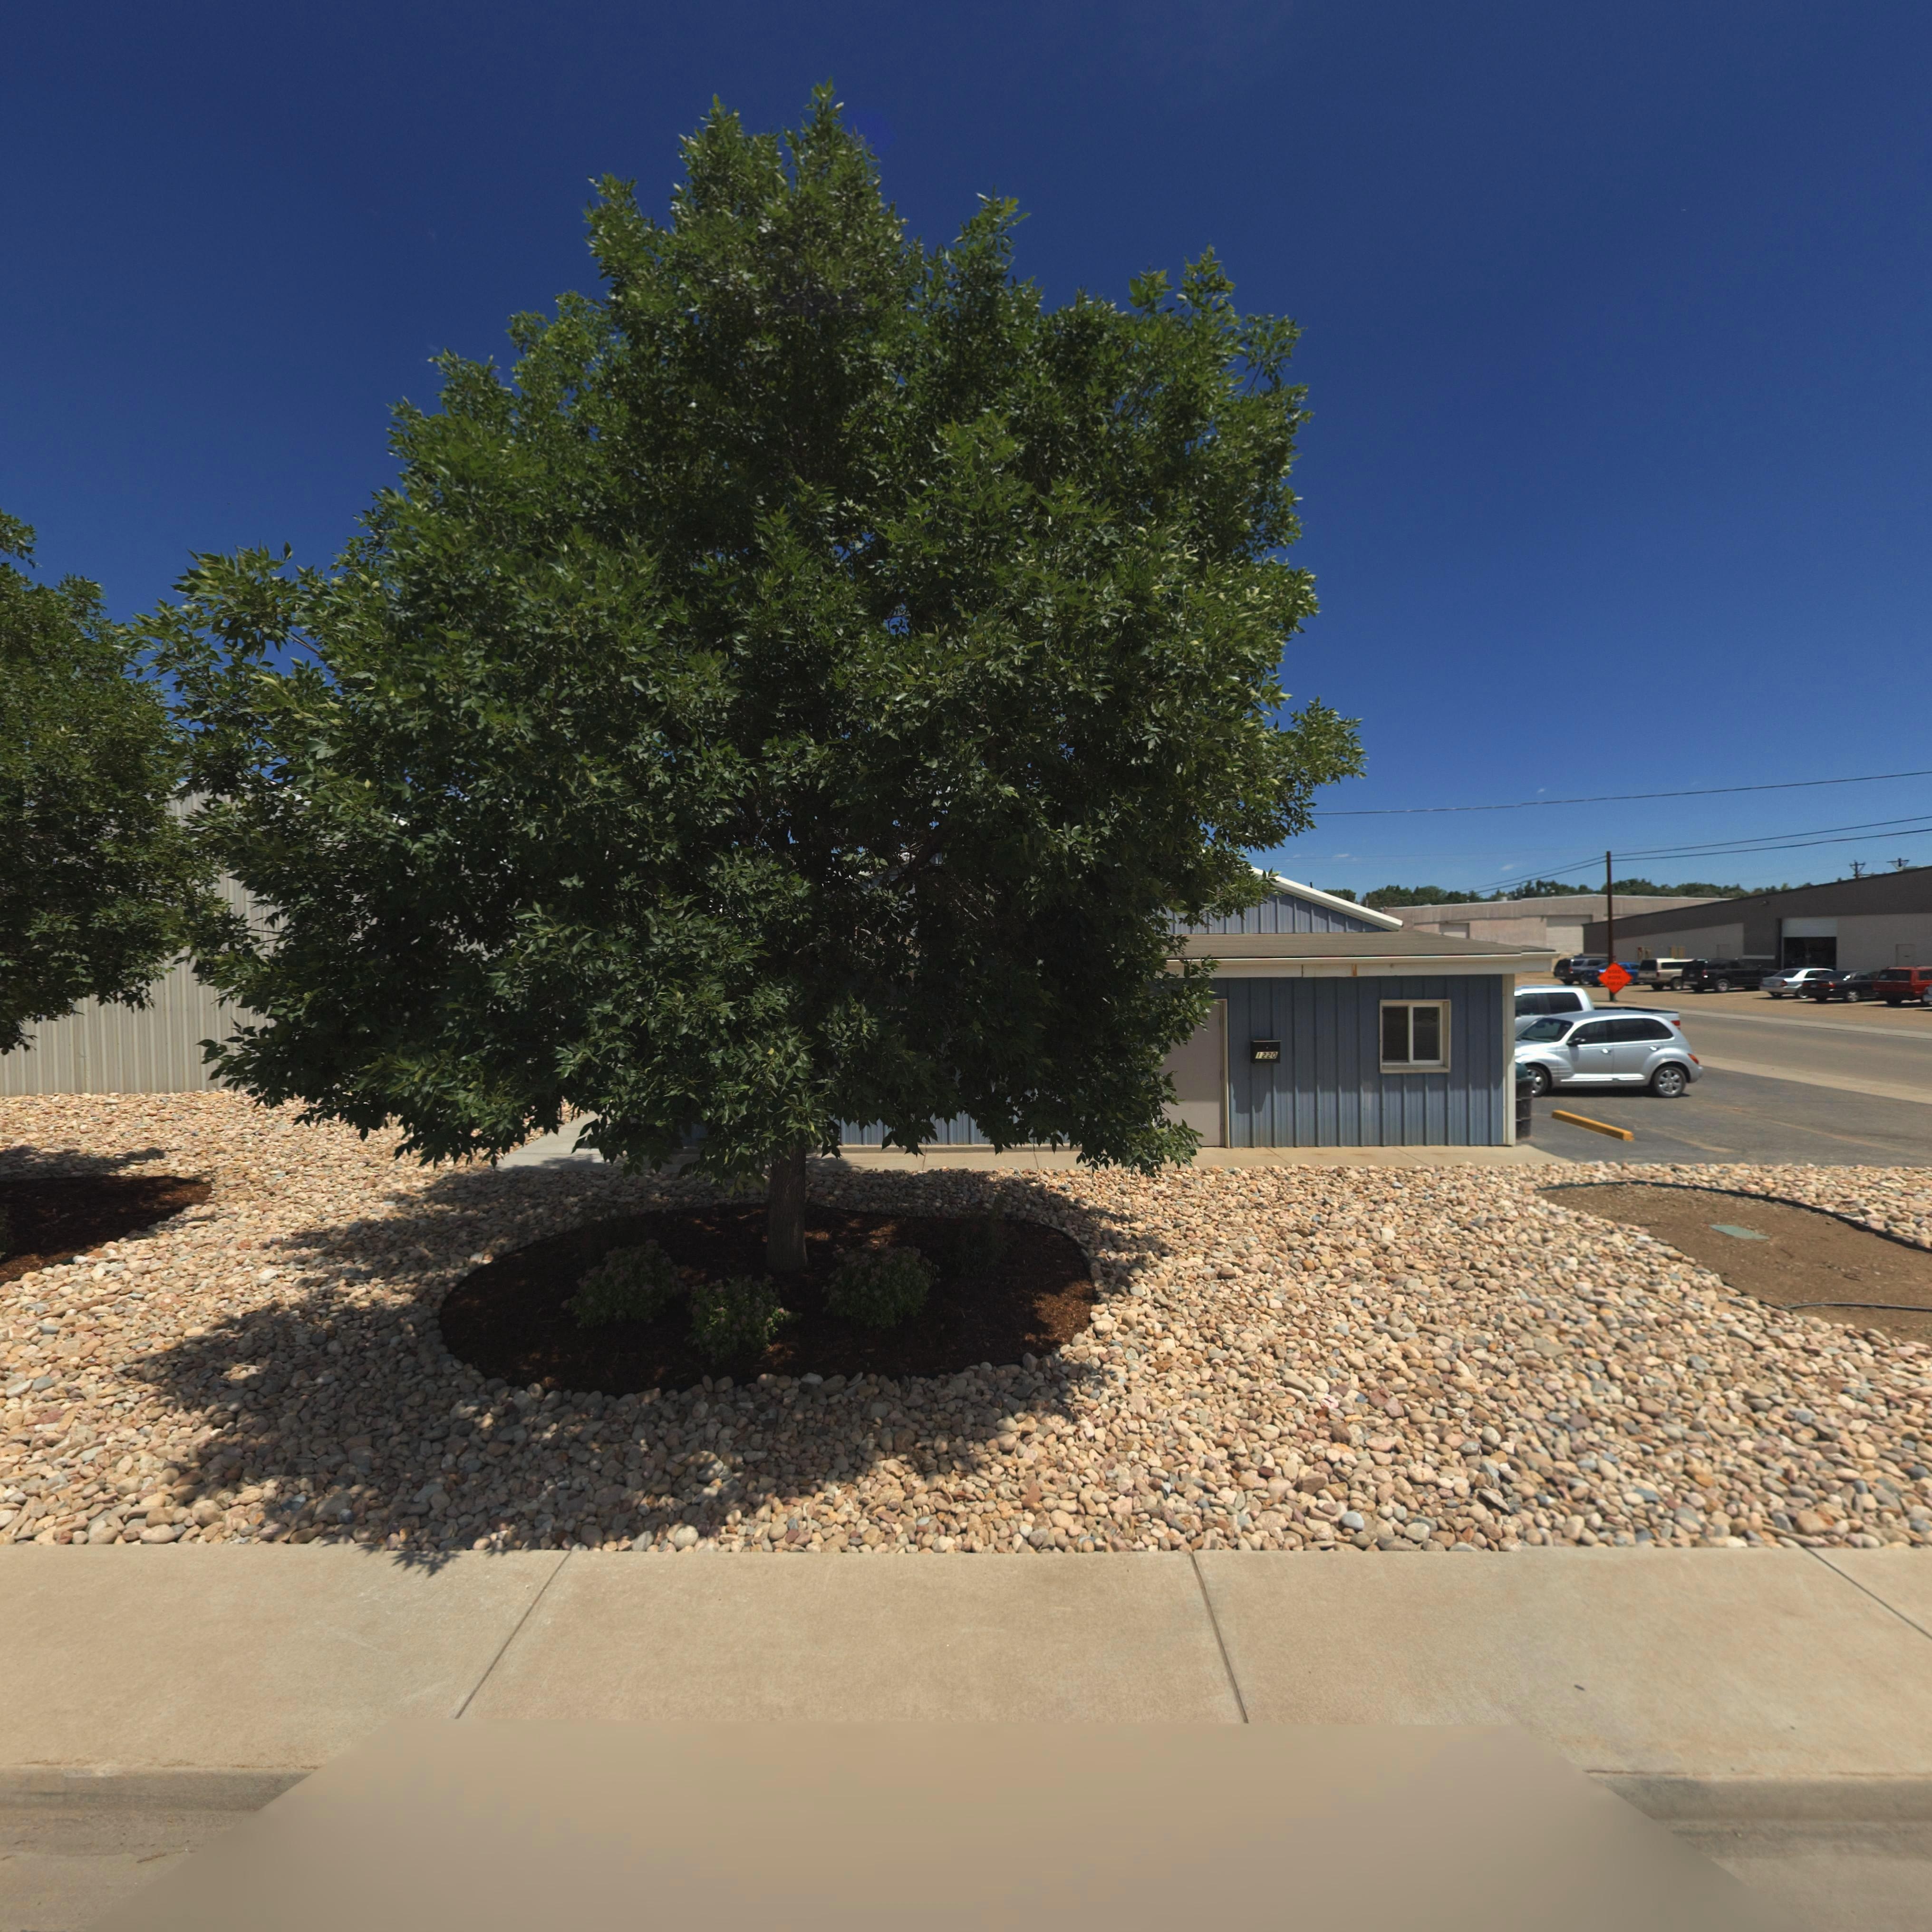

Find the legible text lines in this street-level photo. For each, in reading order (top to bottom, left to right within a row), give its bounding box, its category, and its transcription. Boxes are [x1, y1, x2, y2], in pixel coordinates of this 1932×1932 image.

[1257, 1051, 1276, 1058] StreetNumber: 1220